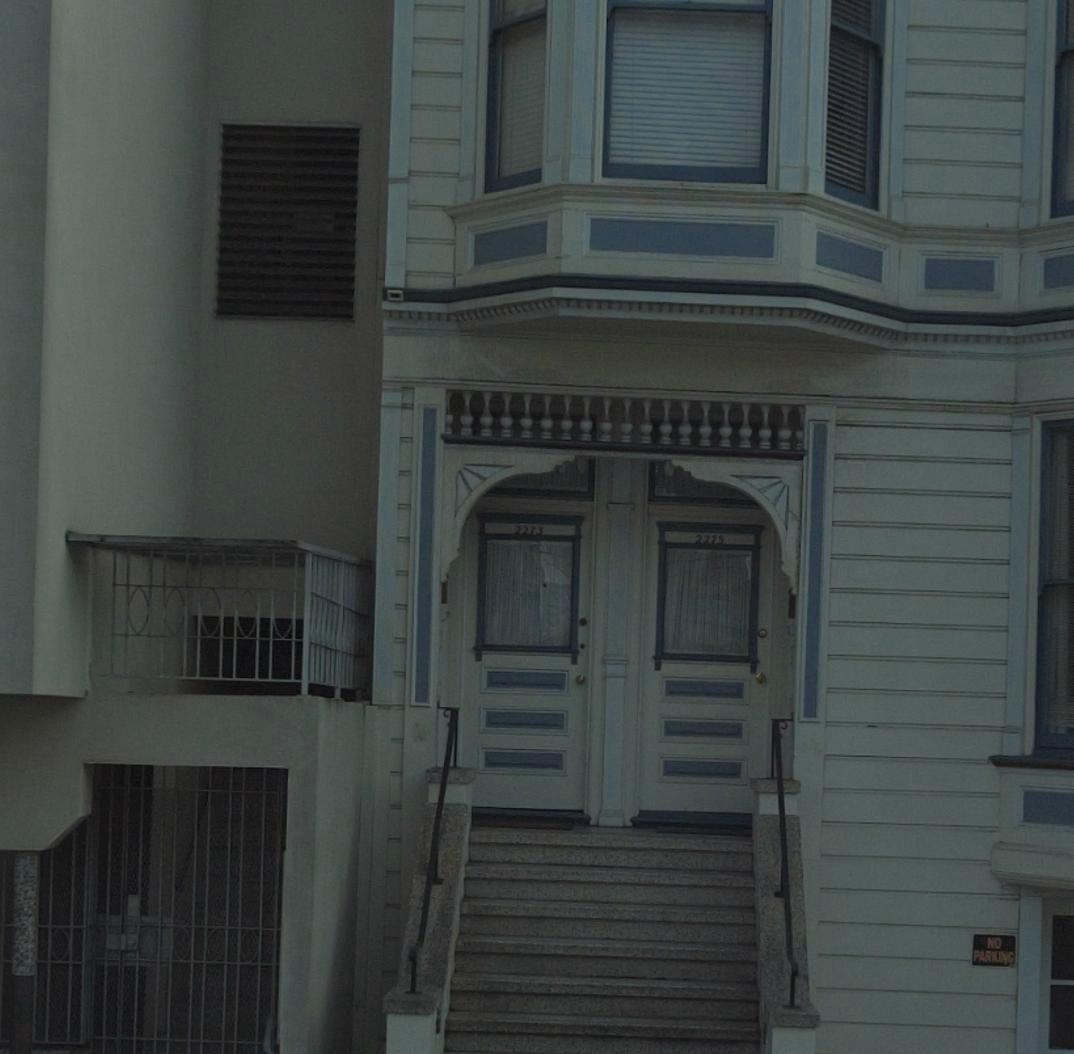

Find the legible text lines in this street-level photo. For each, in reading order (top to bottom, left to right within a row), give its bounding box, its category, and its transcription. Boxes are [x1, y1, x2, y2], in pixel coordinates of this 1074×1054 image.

[511, 524, 547, 537] StreetNumber: 2273
[691, 532, 727, 547] StreetNumber: 2275
[985, 935, 1004, 951] None: NO
[972, 947, 1016, 967] None: PAR*ING